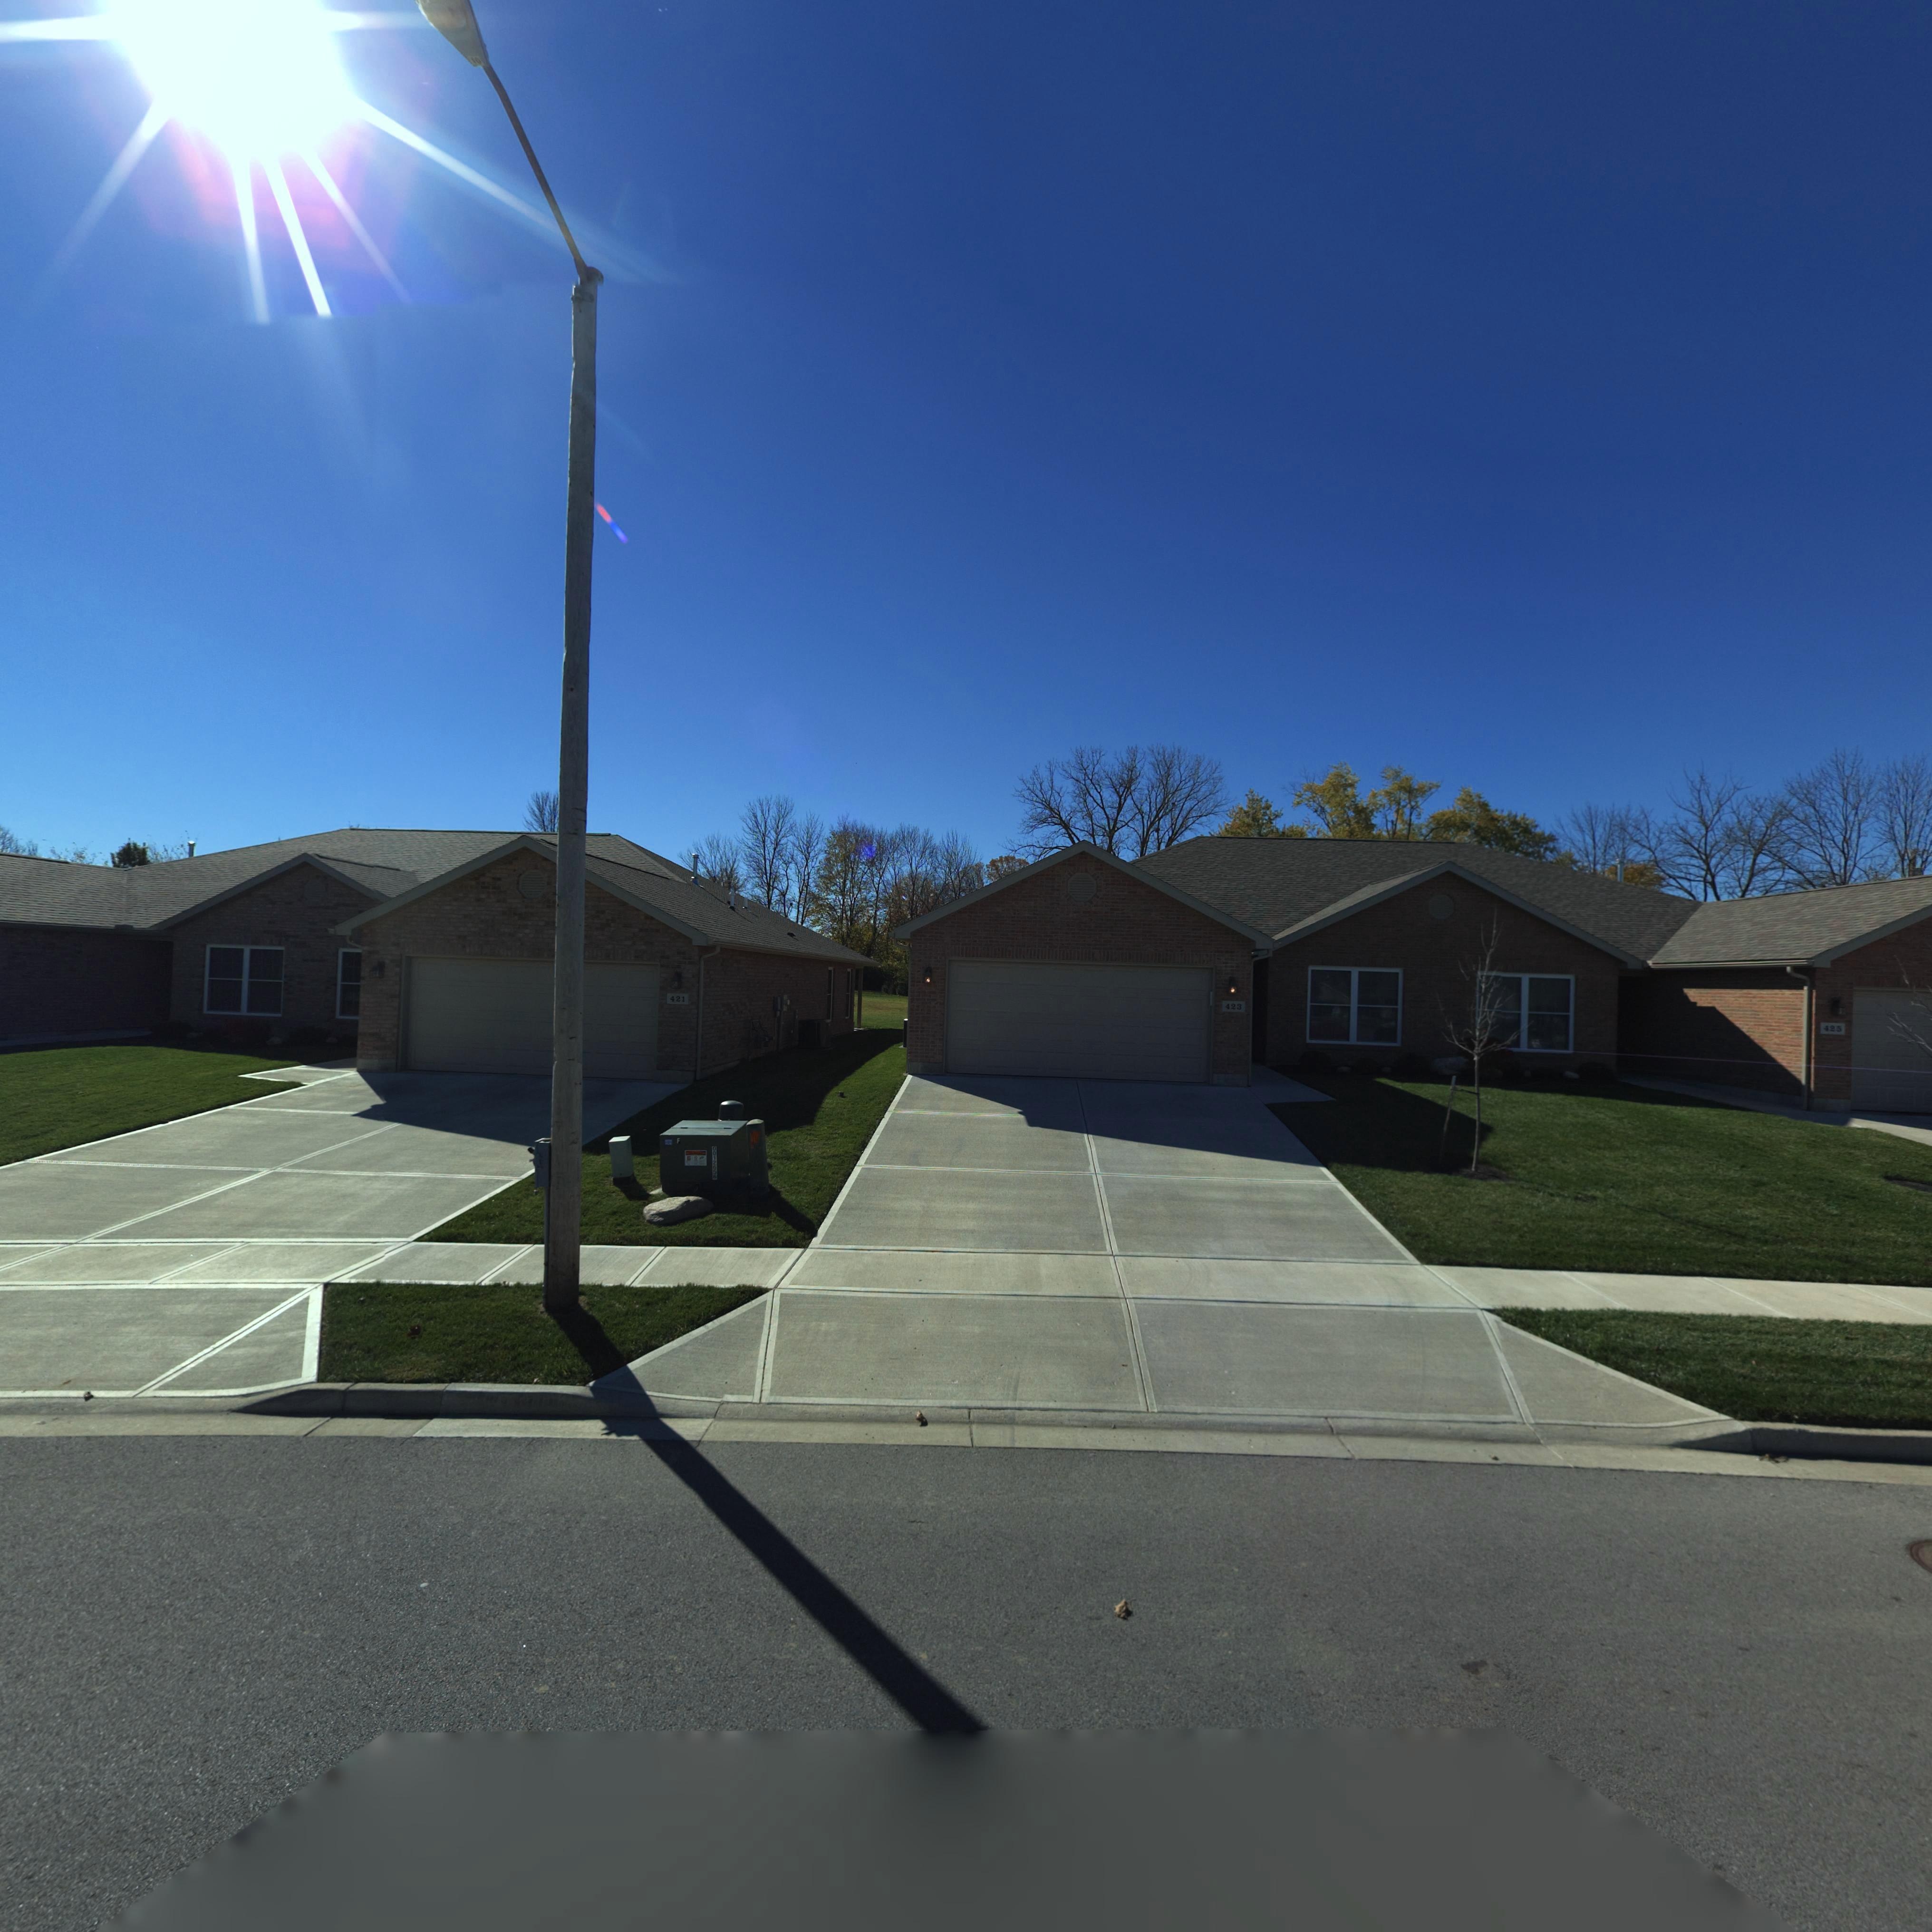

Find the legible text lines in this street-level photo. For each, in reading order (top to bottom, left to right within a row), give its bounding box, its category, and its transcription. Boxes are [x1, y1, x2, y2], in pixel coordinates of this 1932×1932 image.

[669, 995, 686, 1003] StreetNumber: 421
[1224, 1002, 1243, 1011] StreetNumber: 423
[1823, 1024, 1843, 1033] StreetNumber: 425